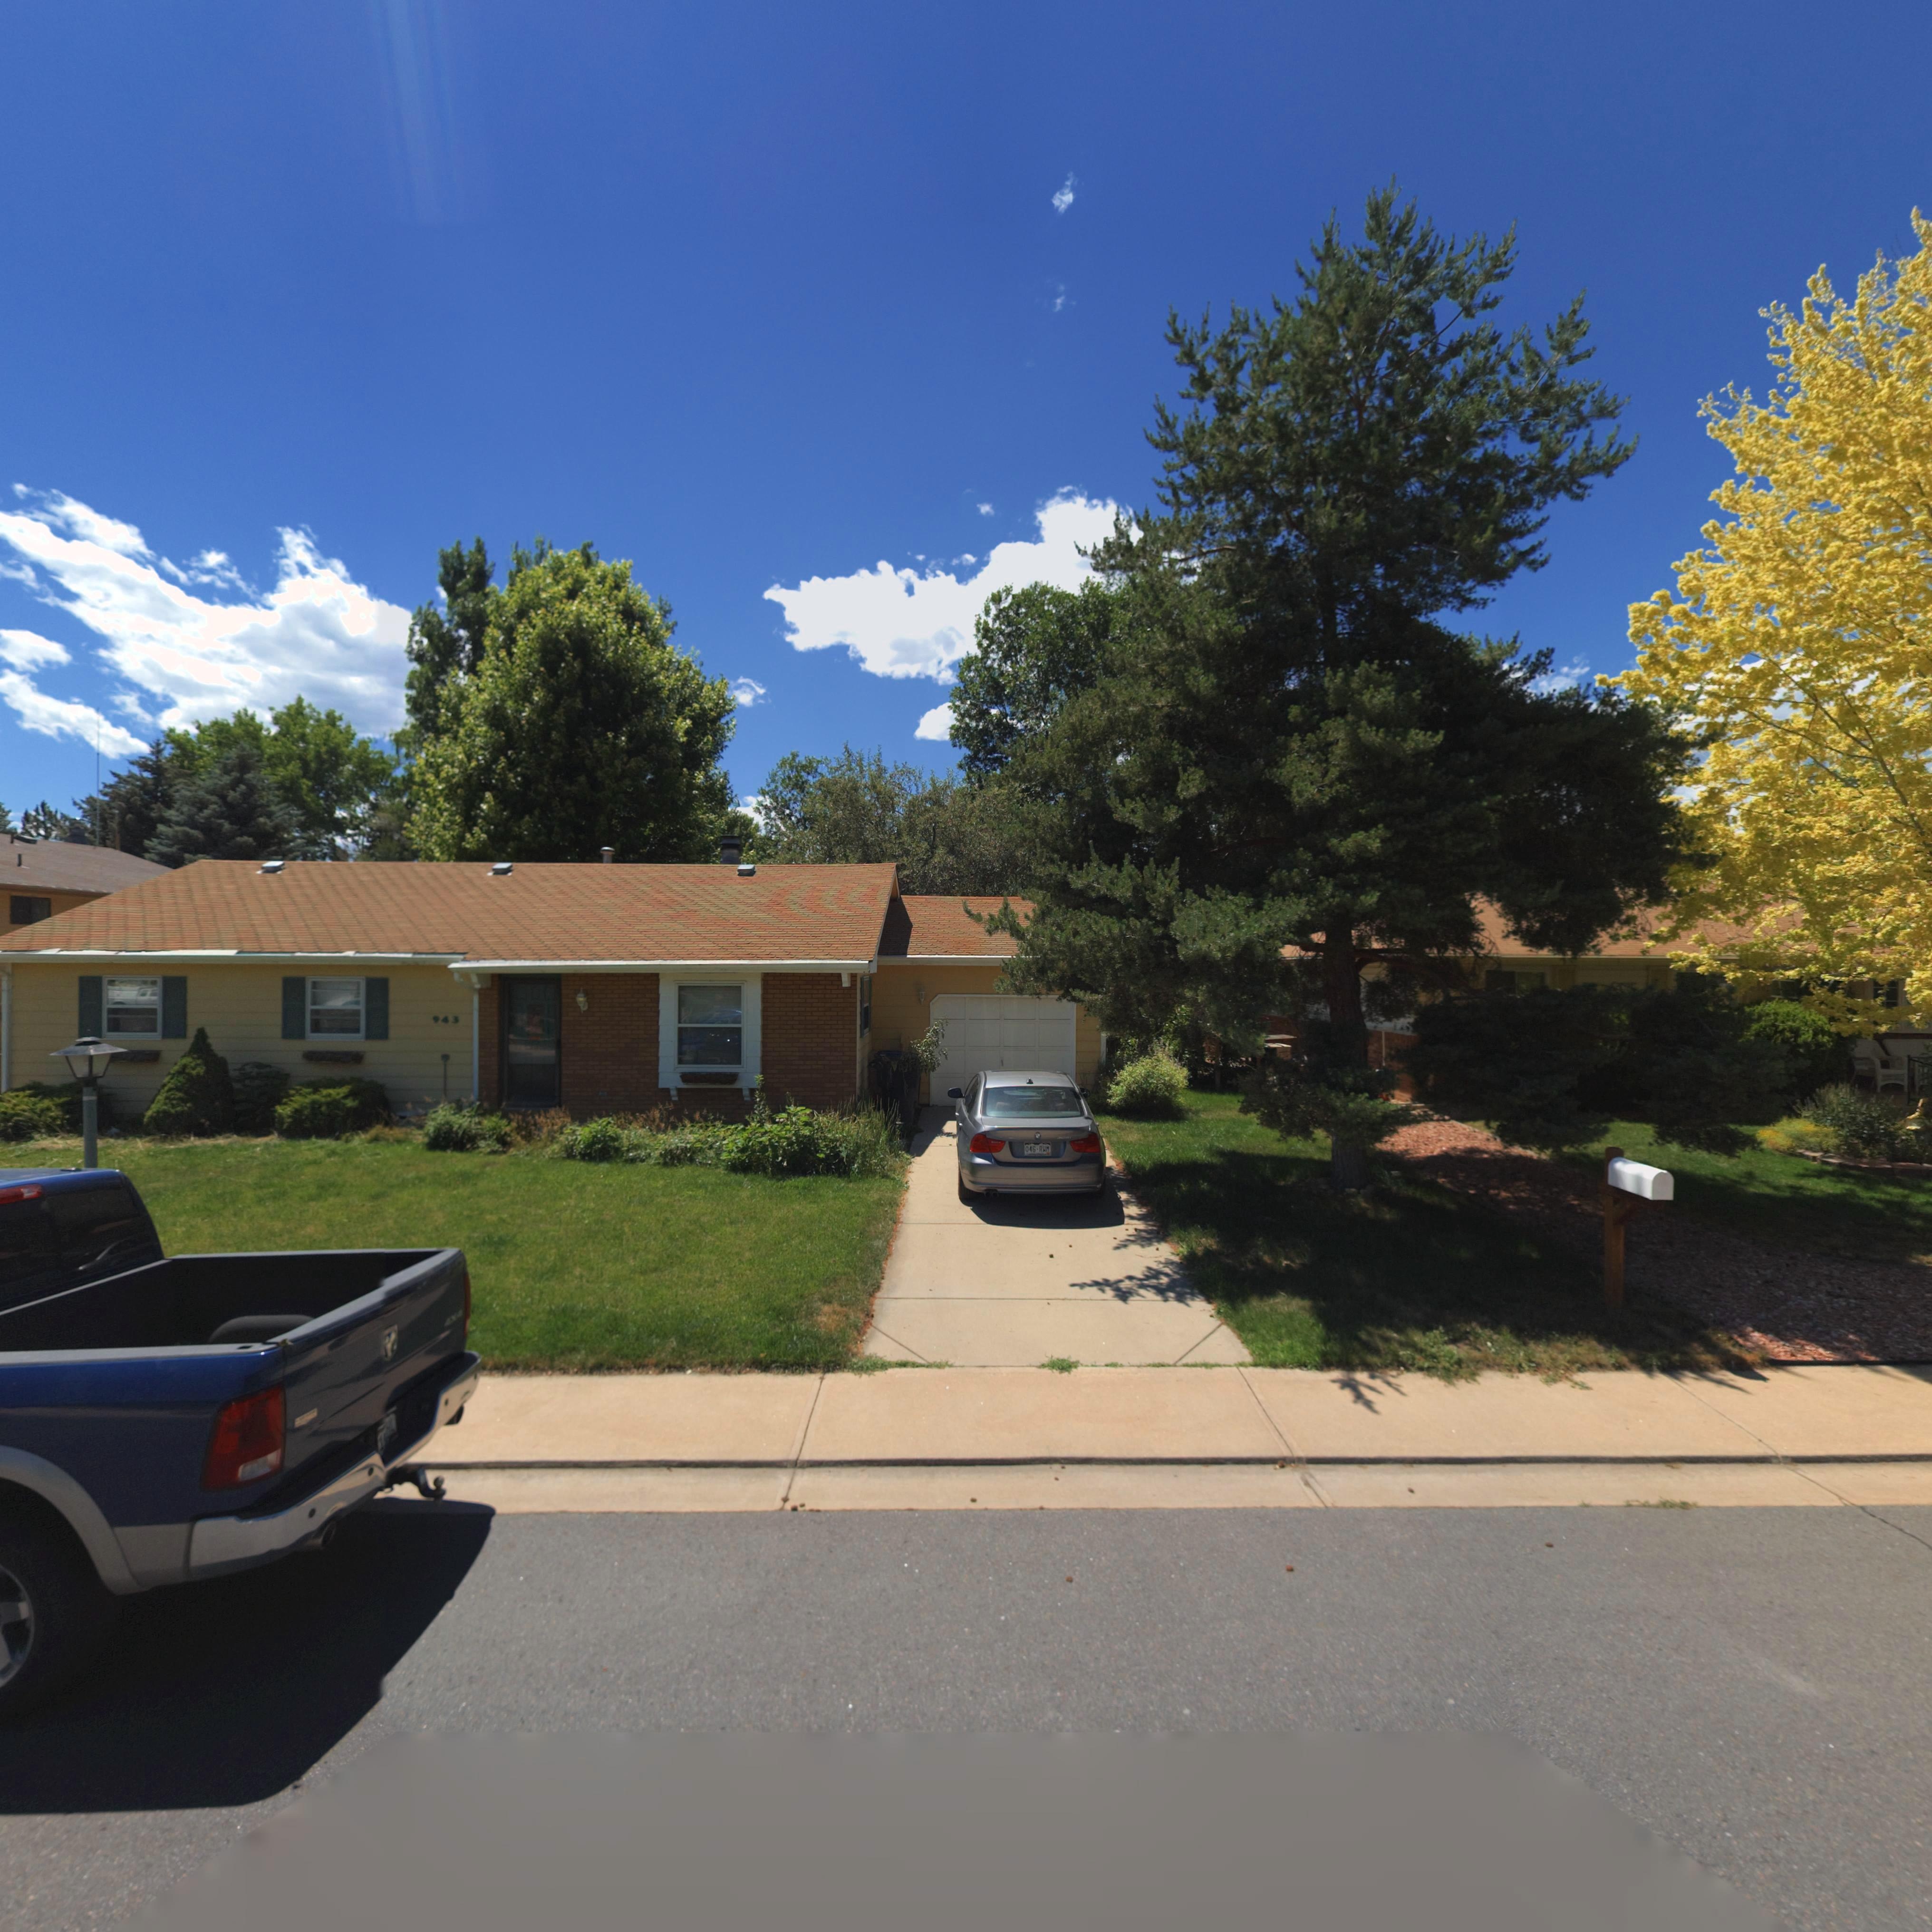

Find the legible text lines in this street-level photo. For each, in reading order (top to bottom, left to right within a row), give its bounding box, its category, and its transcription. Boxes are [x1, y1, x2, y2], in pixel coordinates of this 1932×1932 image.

[432, 1015, 459, 1024] StreetNumber: 943